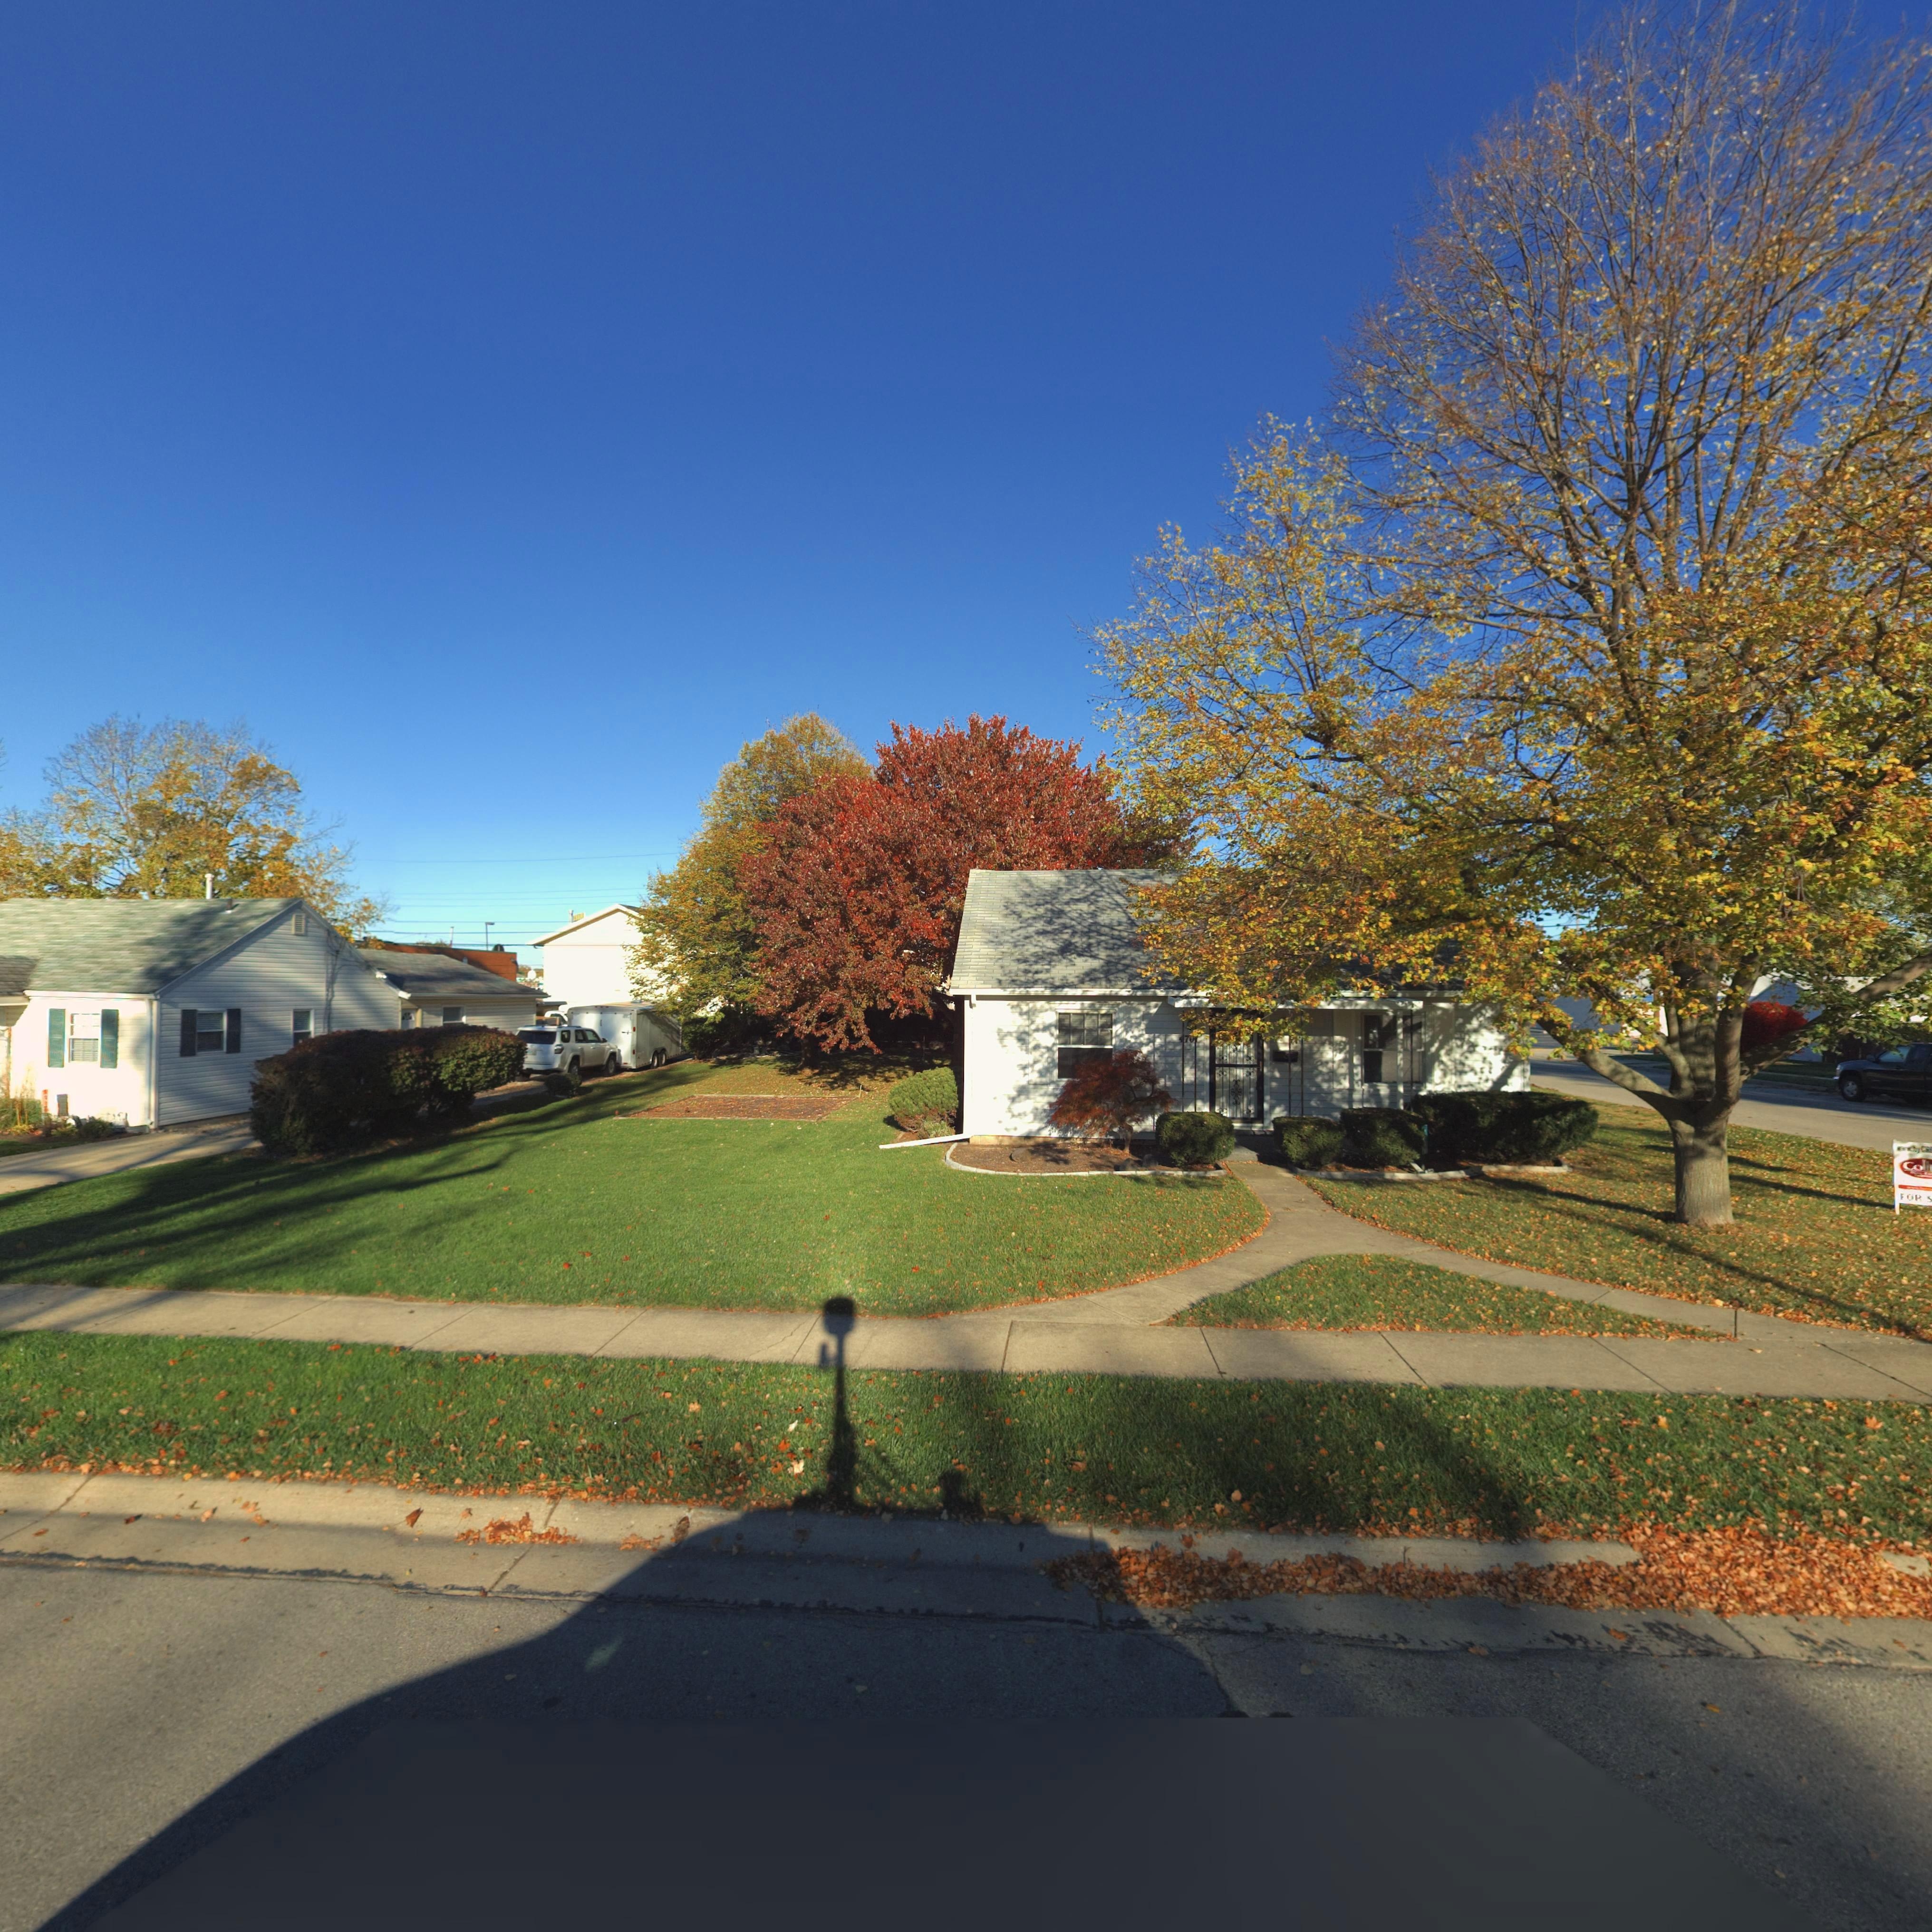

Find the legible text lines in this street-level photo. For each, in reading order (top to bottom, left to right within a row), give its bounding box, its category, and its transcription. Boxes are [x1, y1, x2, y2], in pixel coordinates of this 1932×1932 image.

[1184, 1034, 1190, 1043] StreetNumber: 7